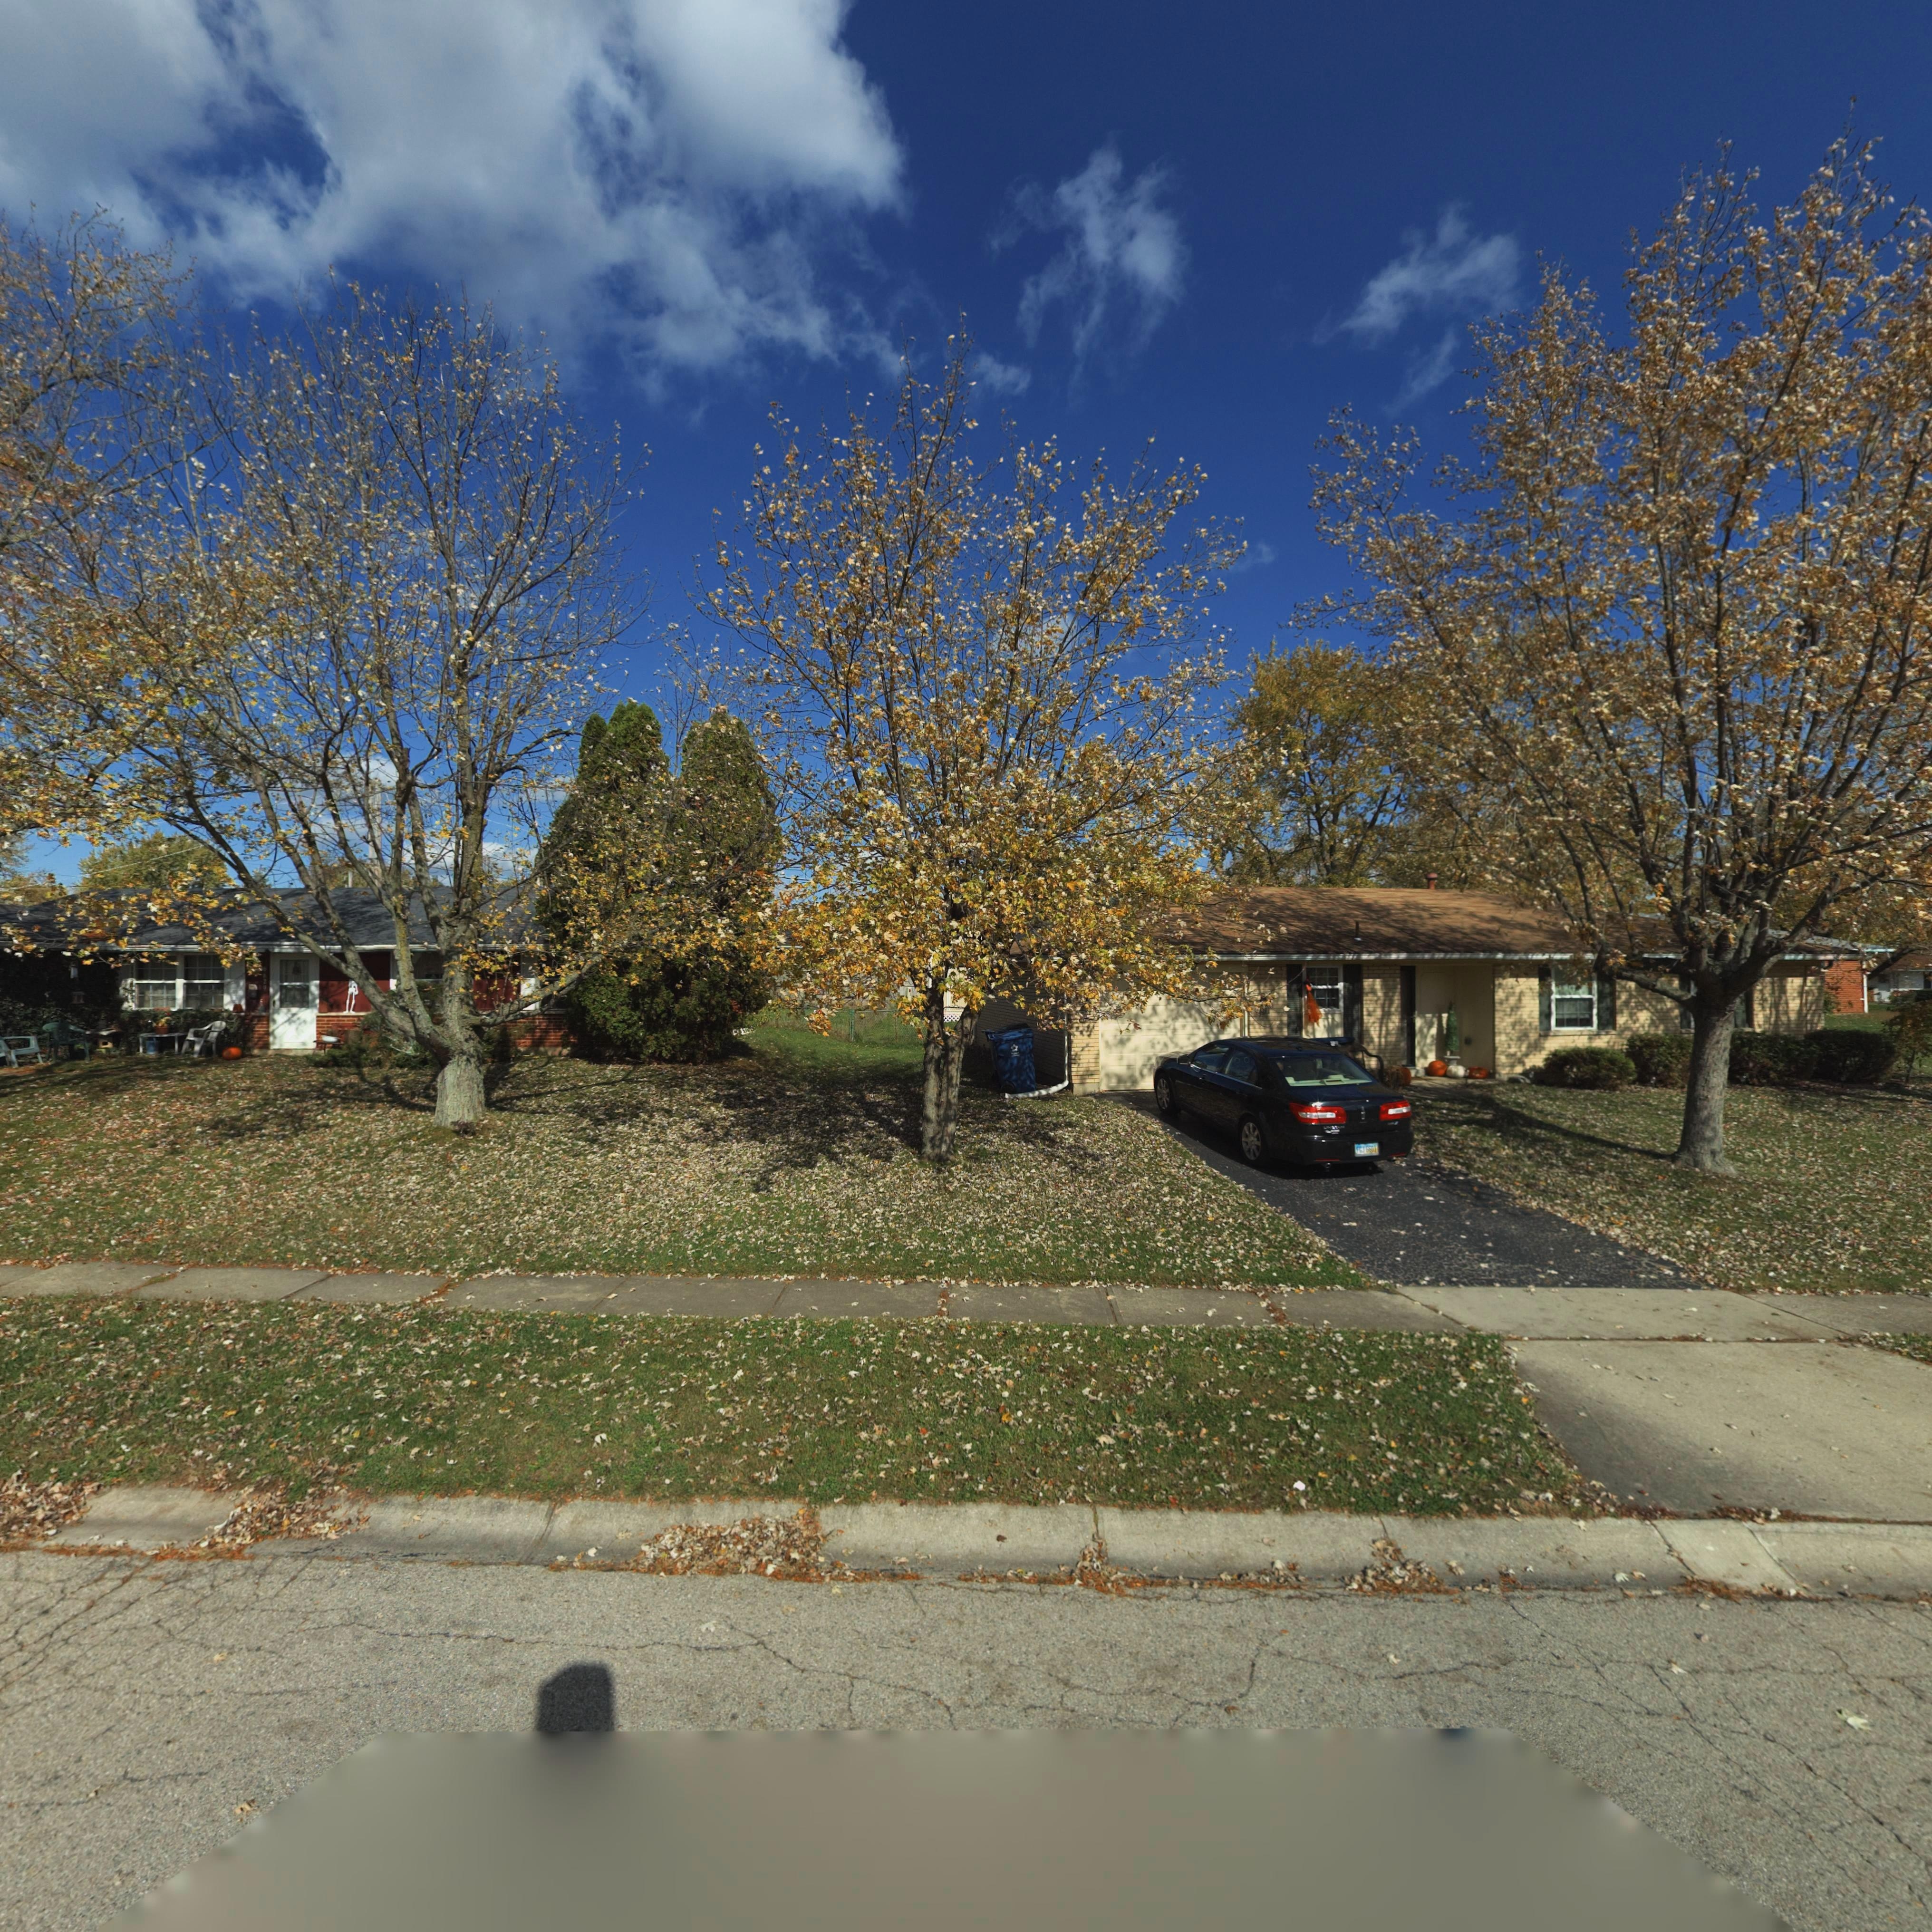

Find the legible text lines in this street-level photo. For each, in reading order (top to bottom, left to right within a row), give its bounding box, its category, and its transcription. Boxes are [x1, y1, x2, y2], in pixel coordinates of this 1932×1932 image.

[263, 966, 267, 991] StreetNumber: 6629